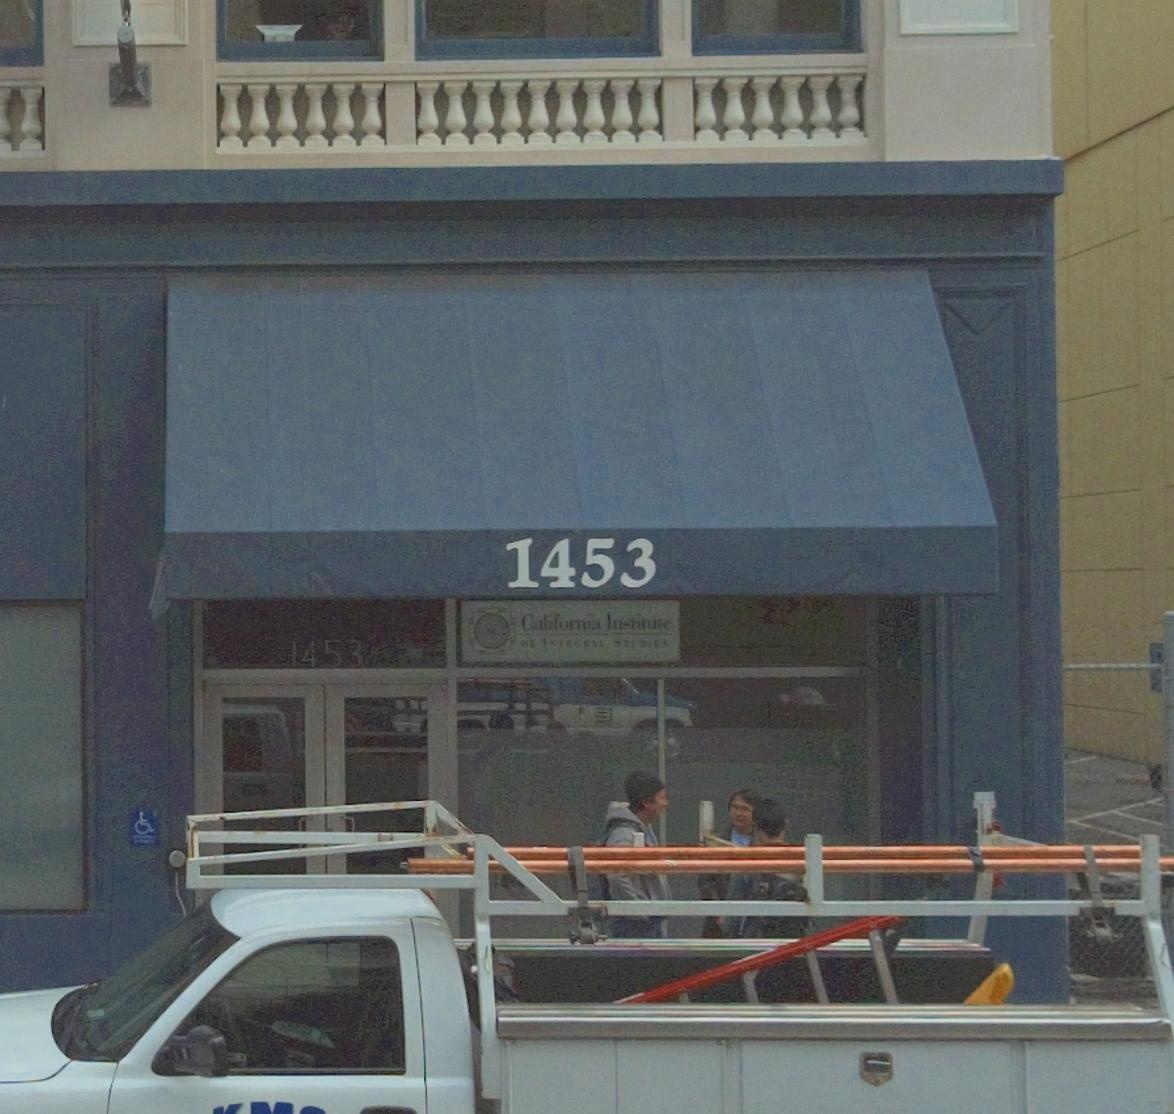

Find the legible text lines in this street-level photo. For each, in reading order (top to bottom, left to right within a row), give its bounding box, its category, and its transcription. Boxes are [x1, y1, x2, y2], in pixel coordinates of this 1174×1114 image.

[503, 534, 658, 591] StreetNumber: 1453
[521, 612, 672, 632] BusinessName: California Institute
[290, 639, 365, 668] StreetNumber: 1453
[521, 638, 668, 649] BusinessName: OF INTEGRAL STUDIES